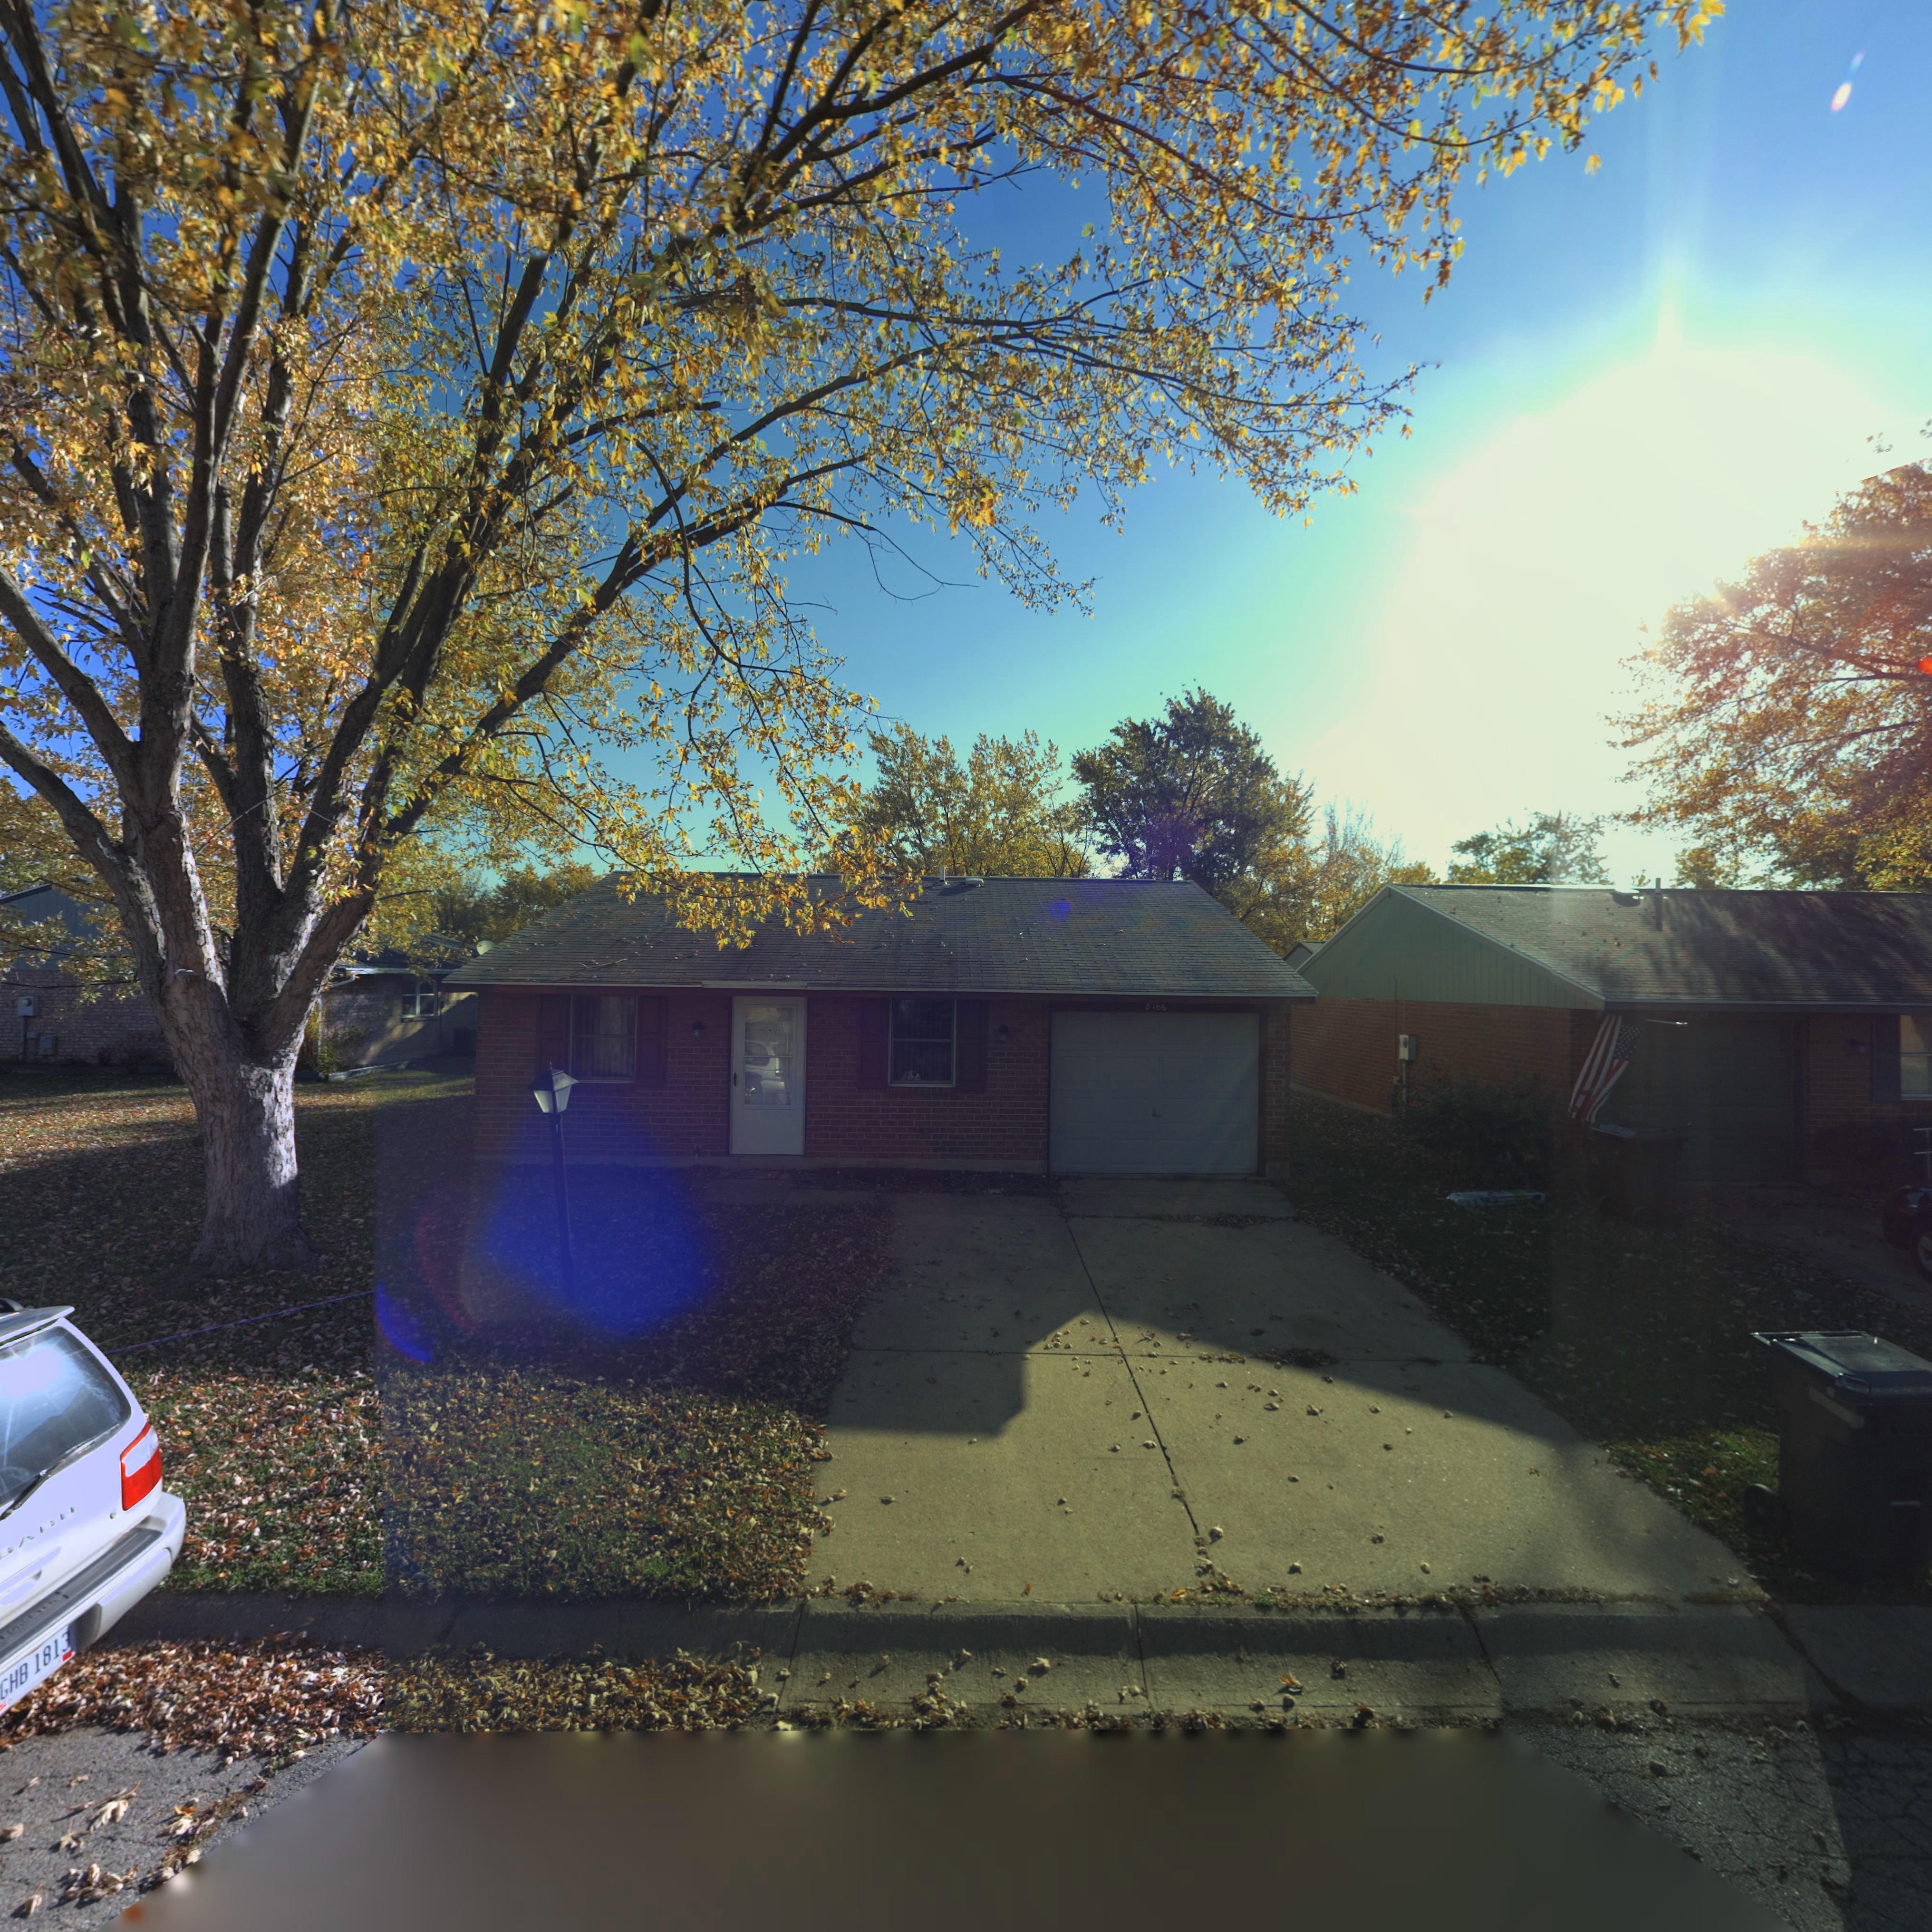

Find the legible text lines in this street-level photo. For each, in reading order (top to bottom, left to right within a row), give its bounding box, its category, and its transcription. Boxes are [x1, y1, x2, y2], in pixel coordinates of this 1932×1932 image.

[1145, 1002, 1167, 1011] StreetNumber: 8166
[1687, 1011, 1710, 1019] StreetNumber: 8**8